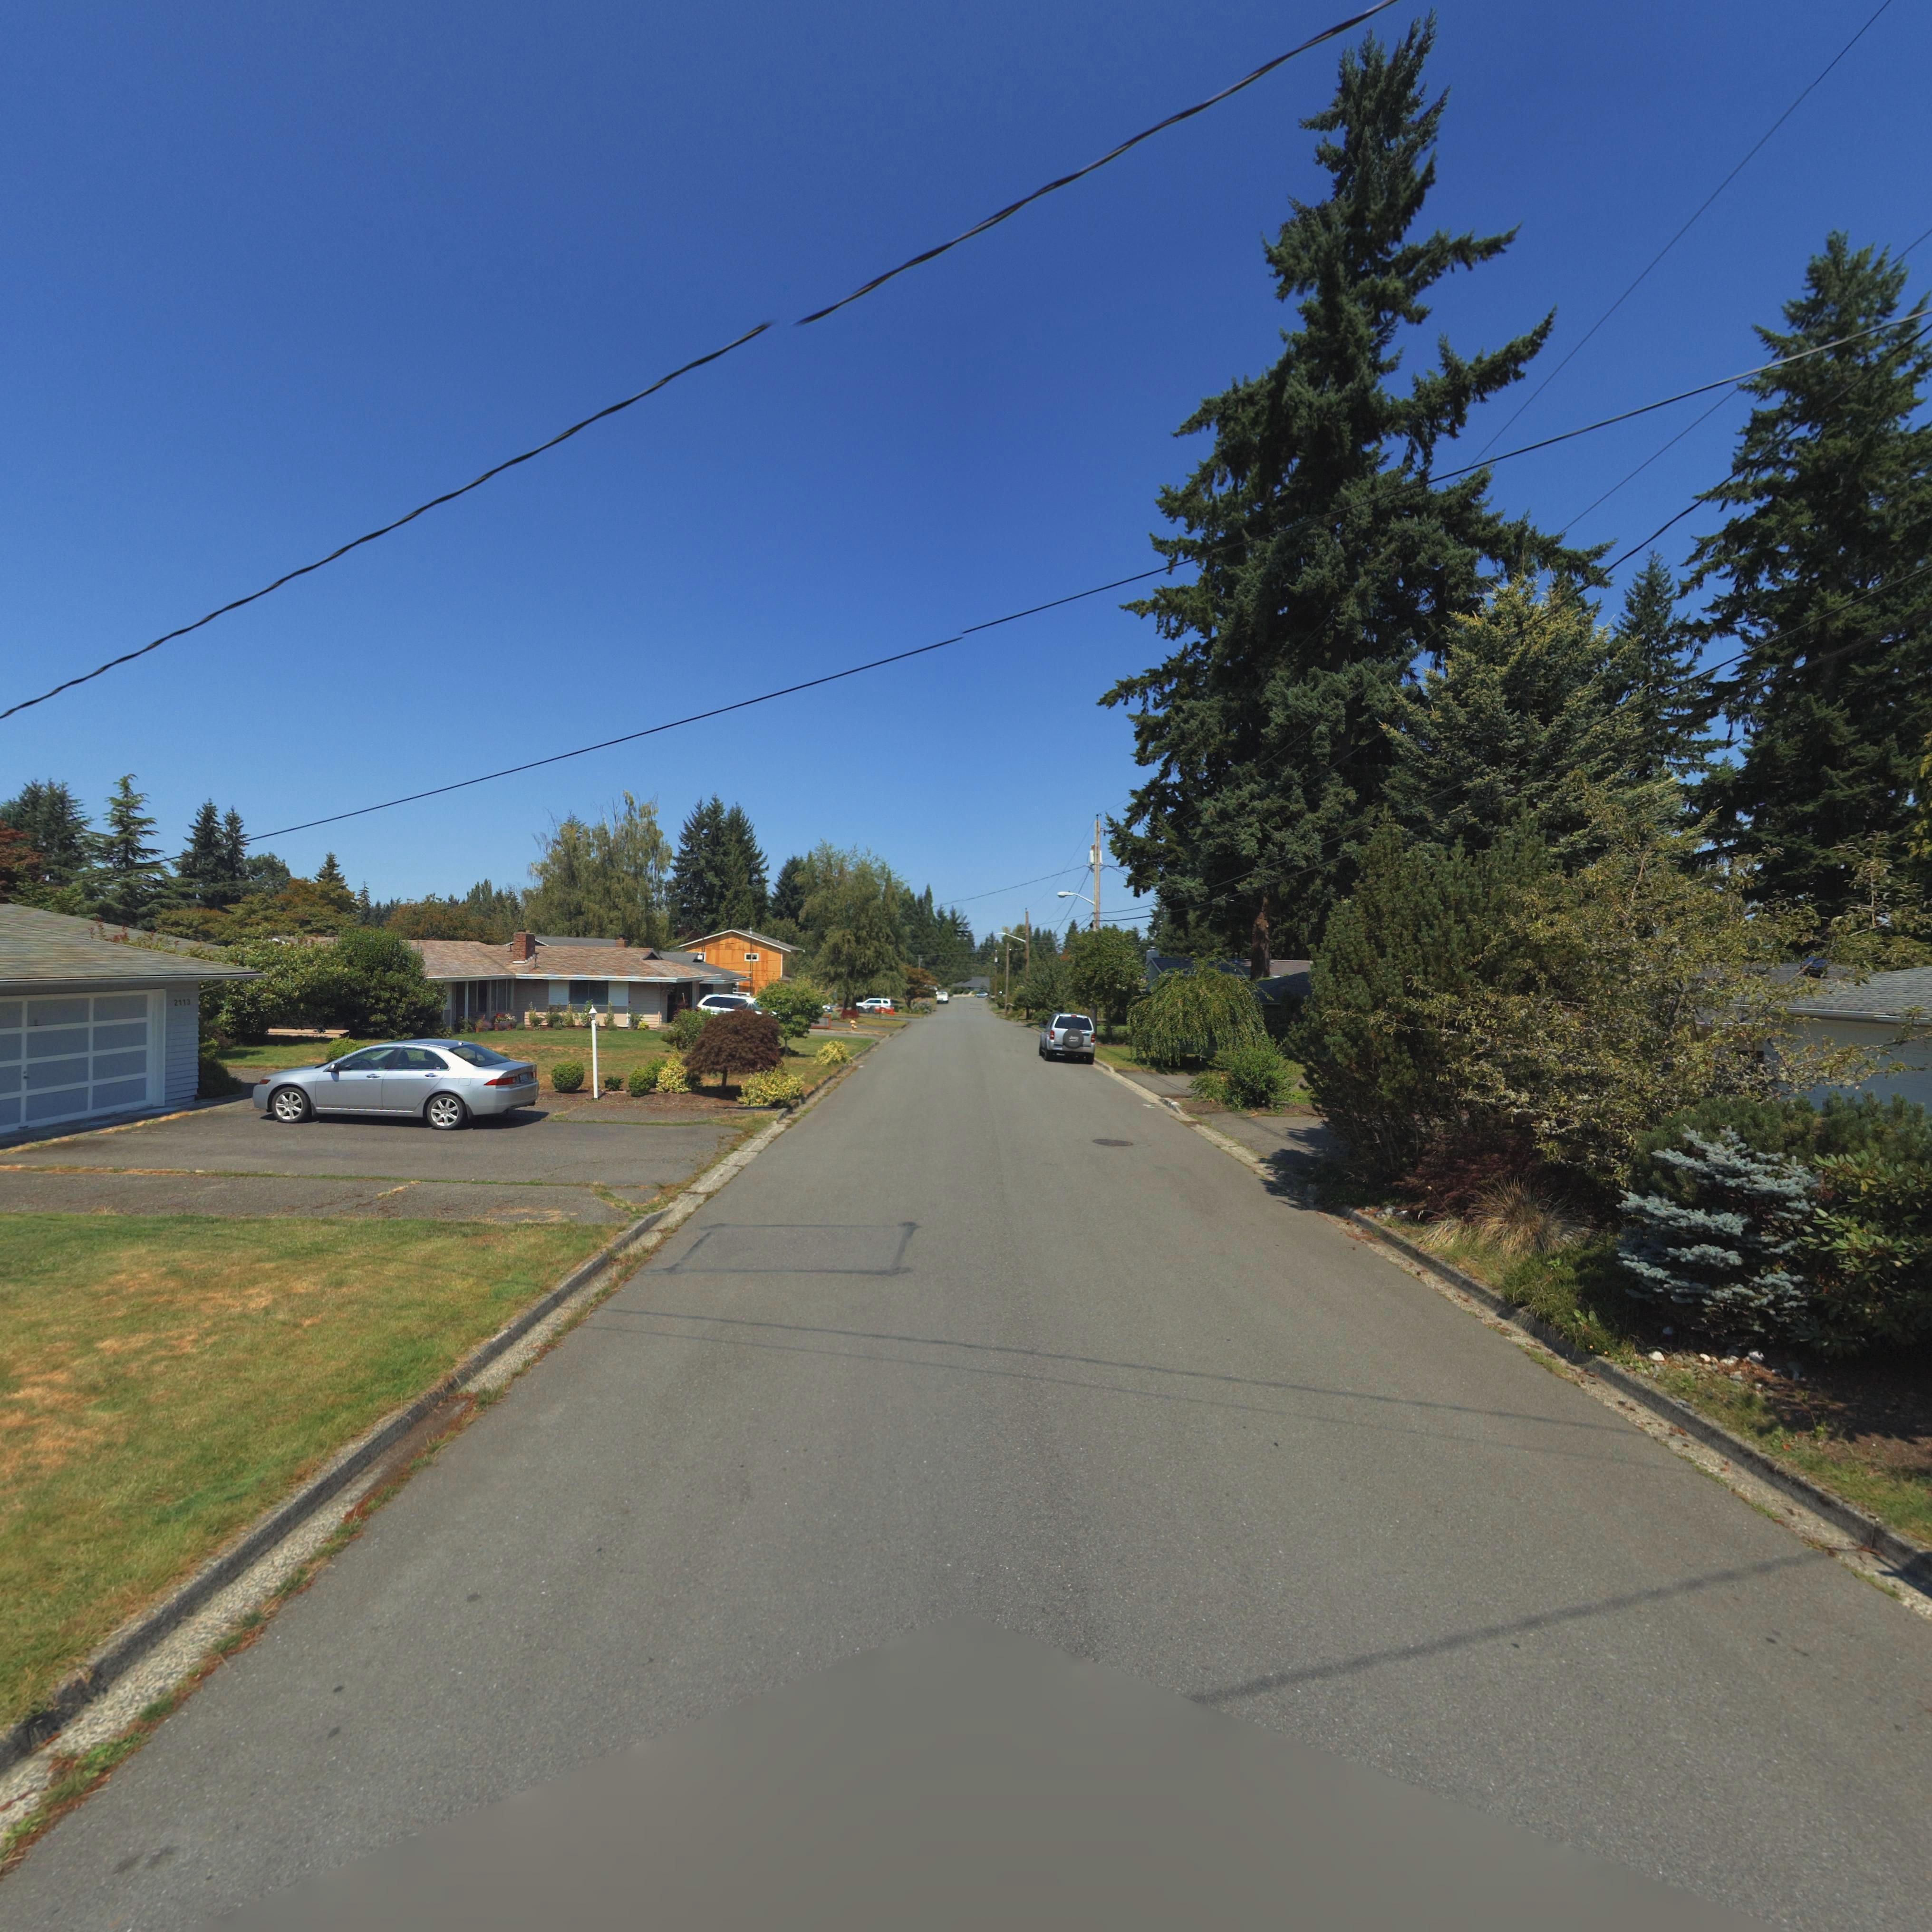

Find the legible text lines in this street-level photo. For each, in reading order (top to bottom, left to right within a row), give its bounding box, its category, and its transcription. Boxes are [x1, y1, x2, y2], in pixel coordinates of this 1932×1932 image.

[173, 998, 191, 1006] StreetNumber: 2113